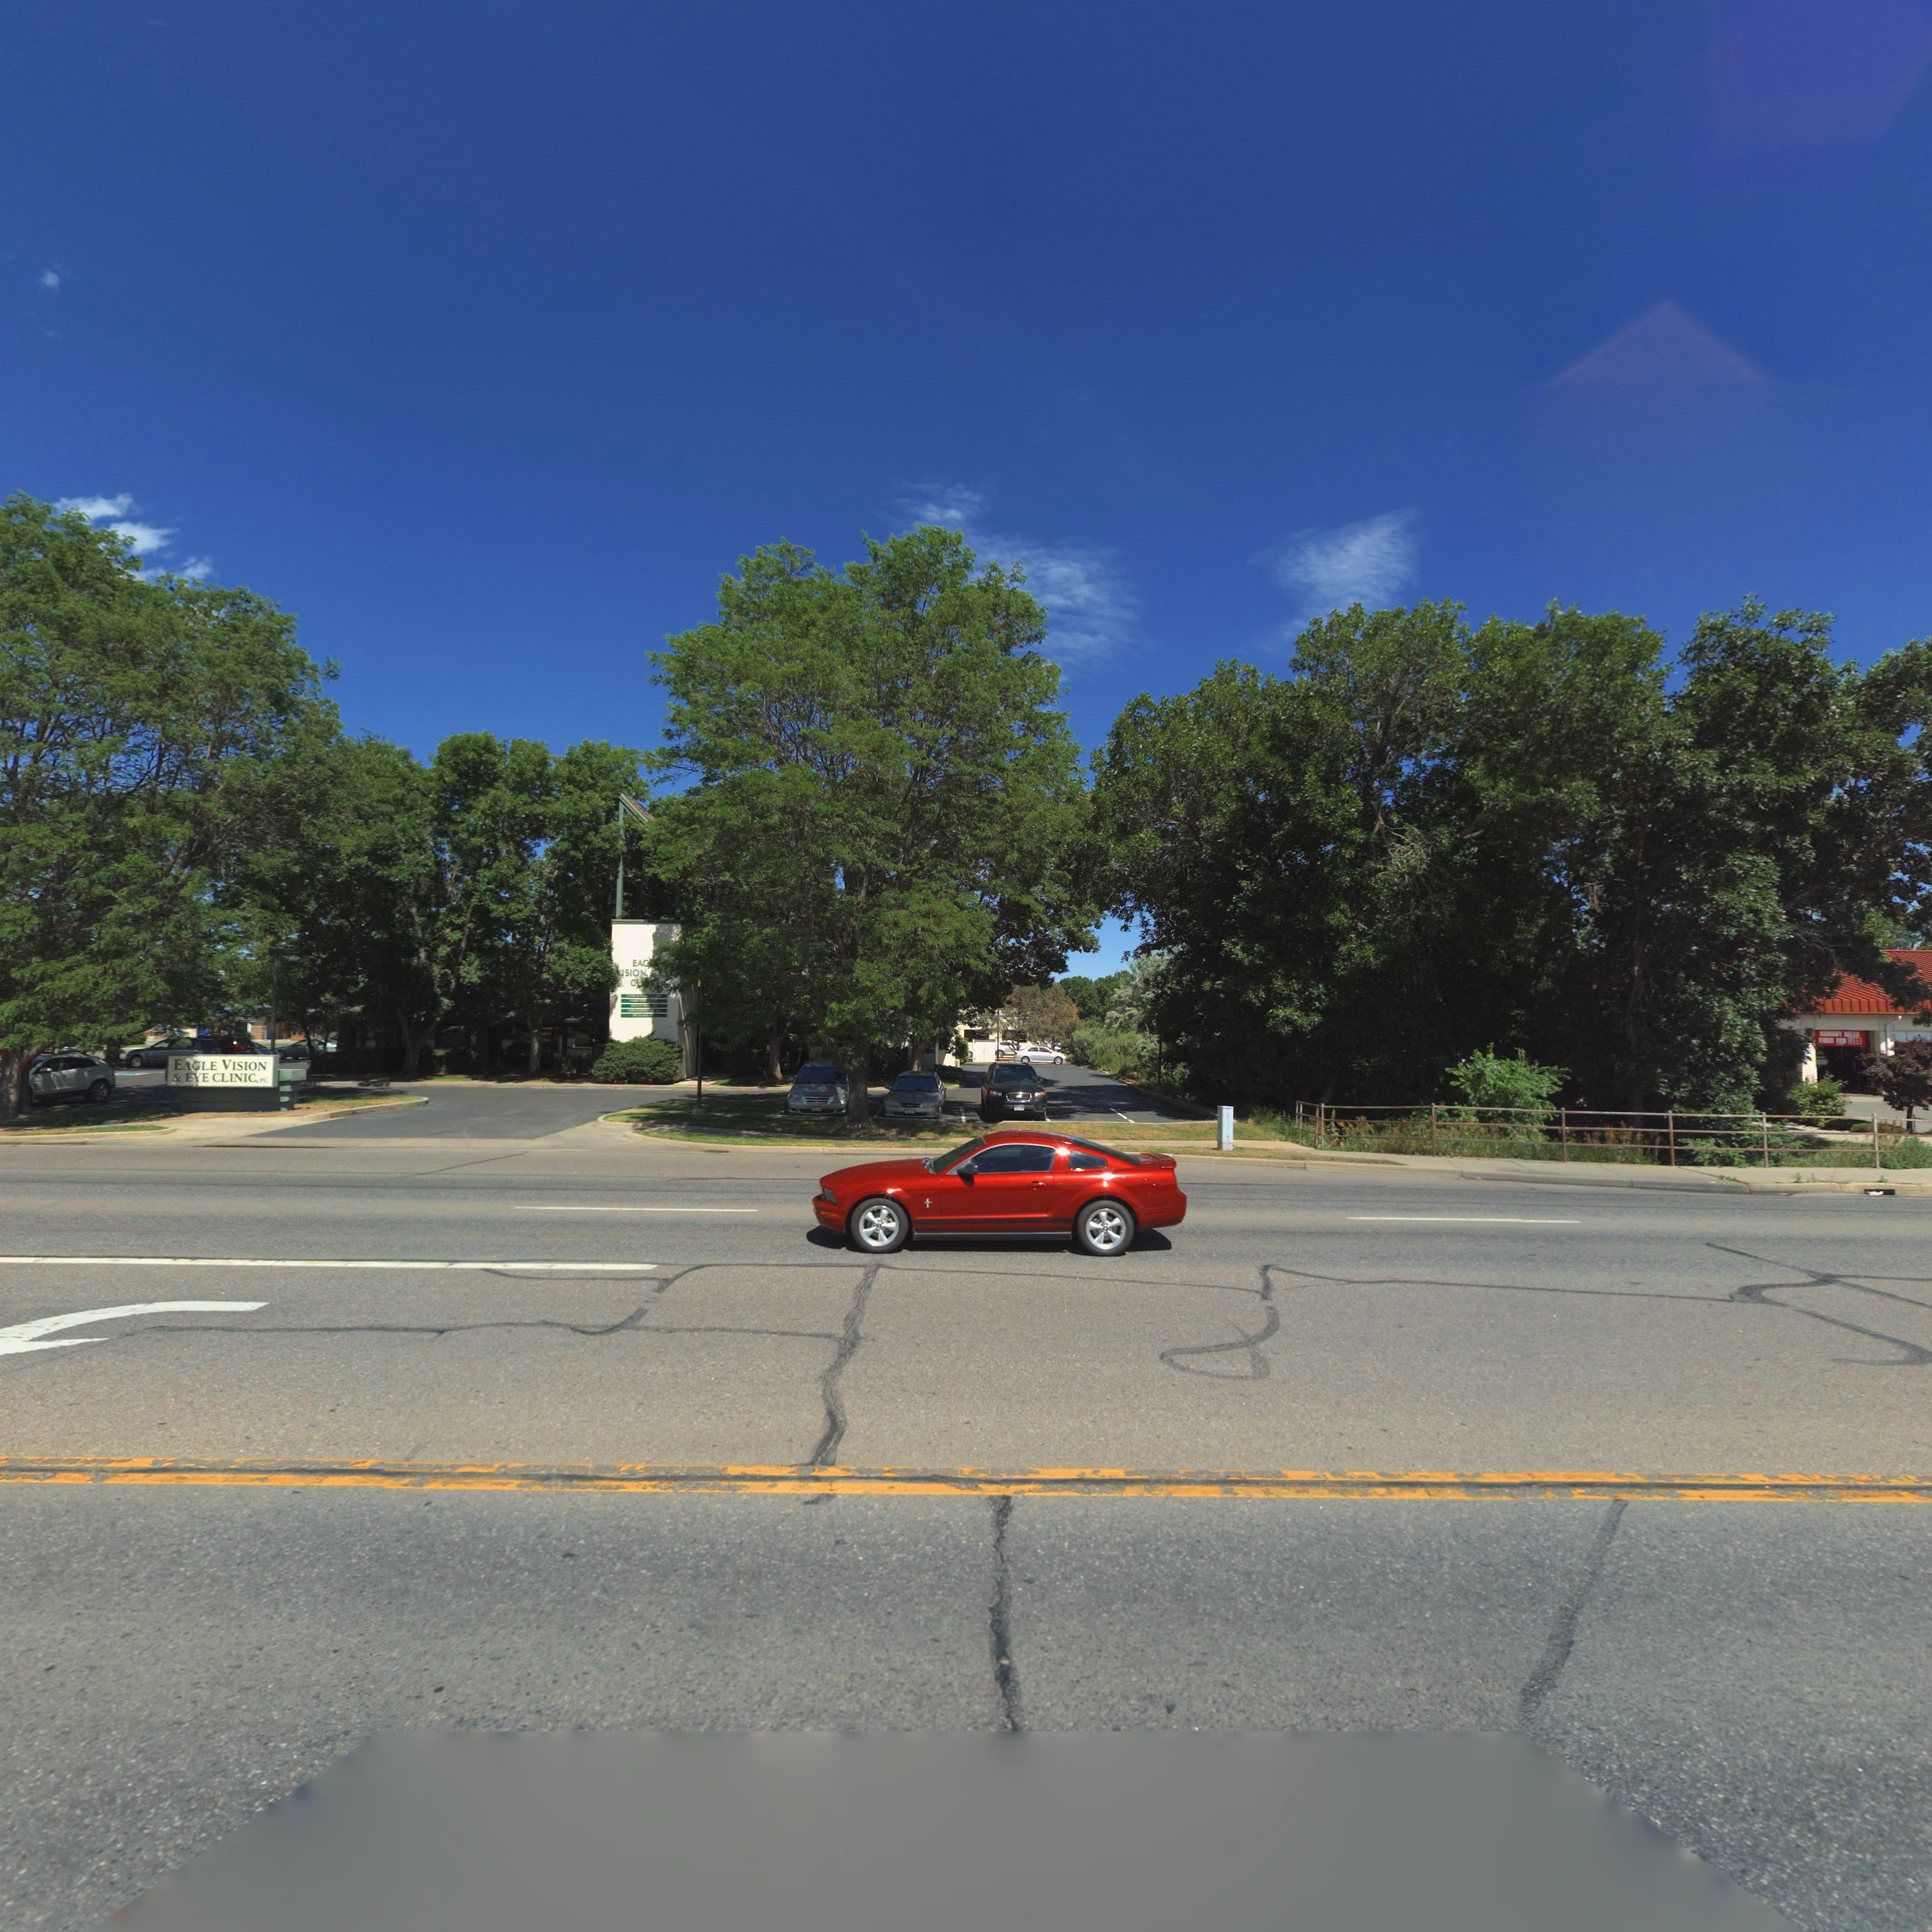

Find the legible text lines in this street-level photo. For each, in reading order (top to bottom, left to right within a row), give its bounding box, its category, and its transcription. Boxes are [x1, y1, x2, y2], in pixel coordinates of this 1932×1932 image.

[632, 959, 649, 966] BusinessName: EA*
[621, 968, 646, 977] BusinessName: ISION
[630, 978, 636, 986] BusinessName: C
[174, 1058, 267, 1071] BusinessName: EAGLE VISION
[172, 1072, 267, 1082] BusinessName: & EYE CLINIC, PC